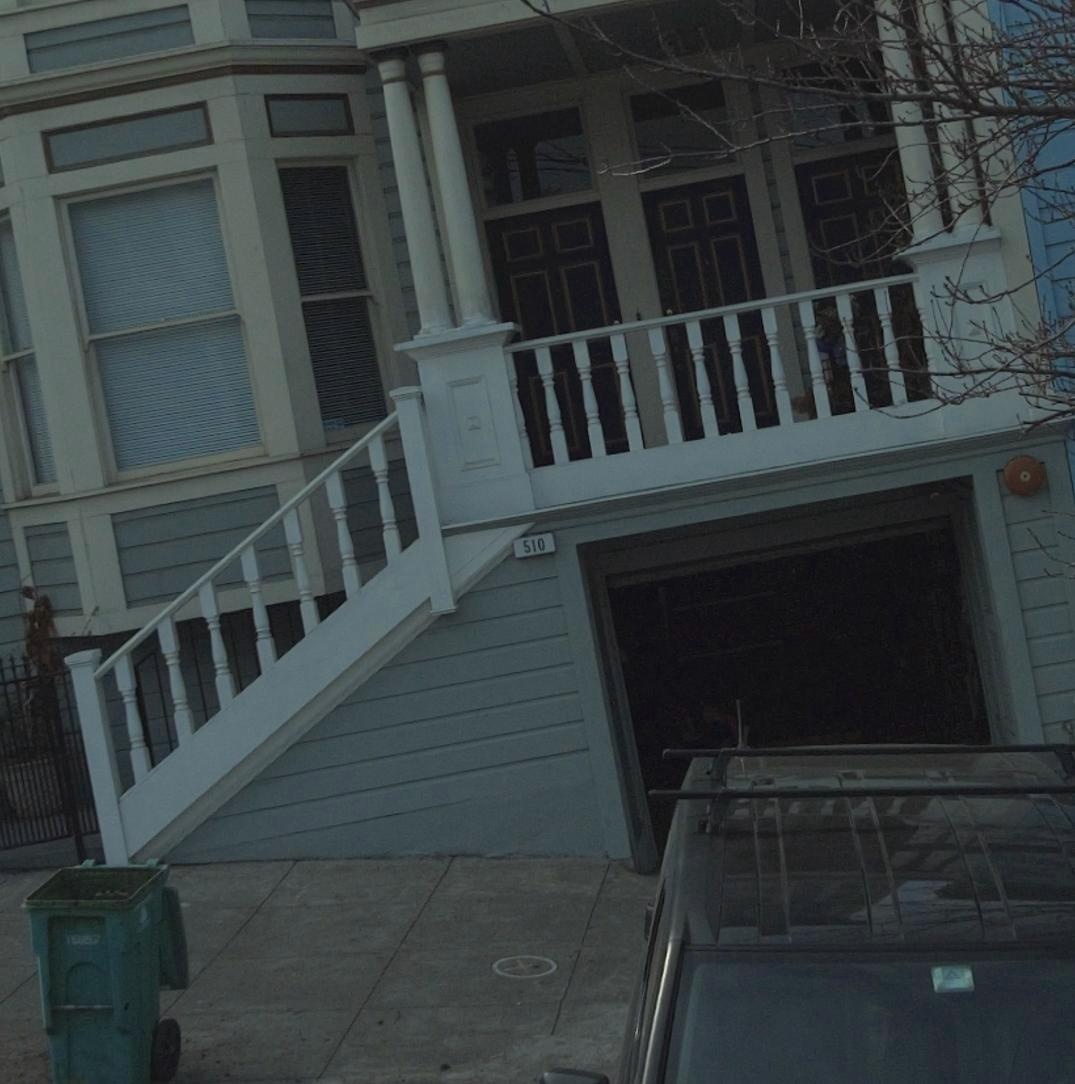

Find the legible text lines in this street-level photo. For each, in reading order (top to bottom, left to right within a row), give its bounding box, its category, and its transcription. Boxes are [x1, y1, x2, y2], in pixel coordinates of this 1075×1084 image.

[522, 536, 547, 555] StreetNumber: 510